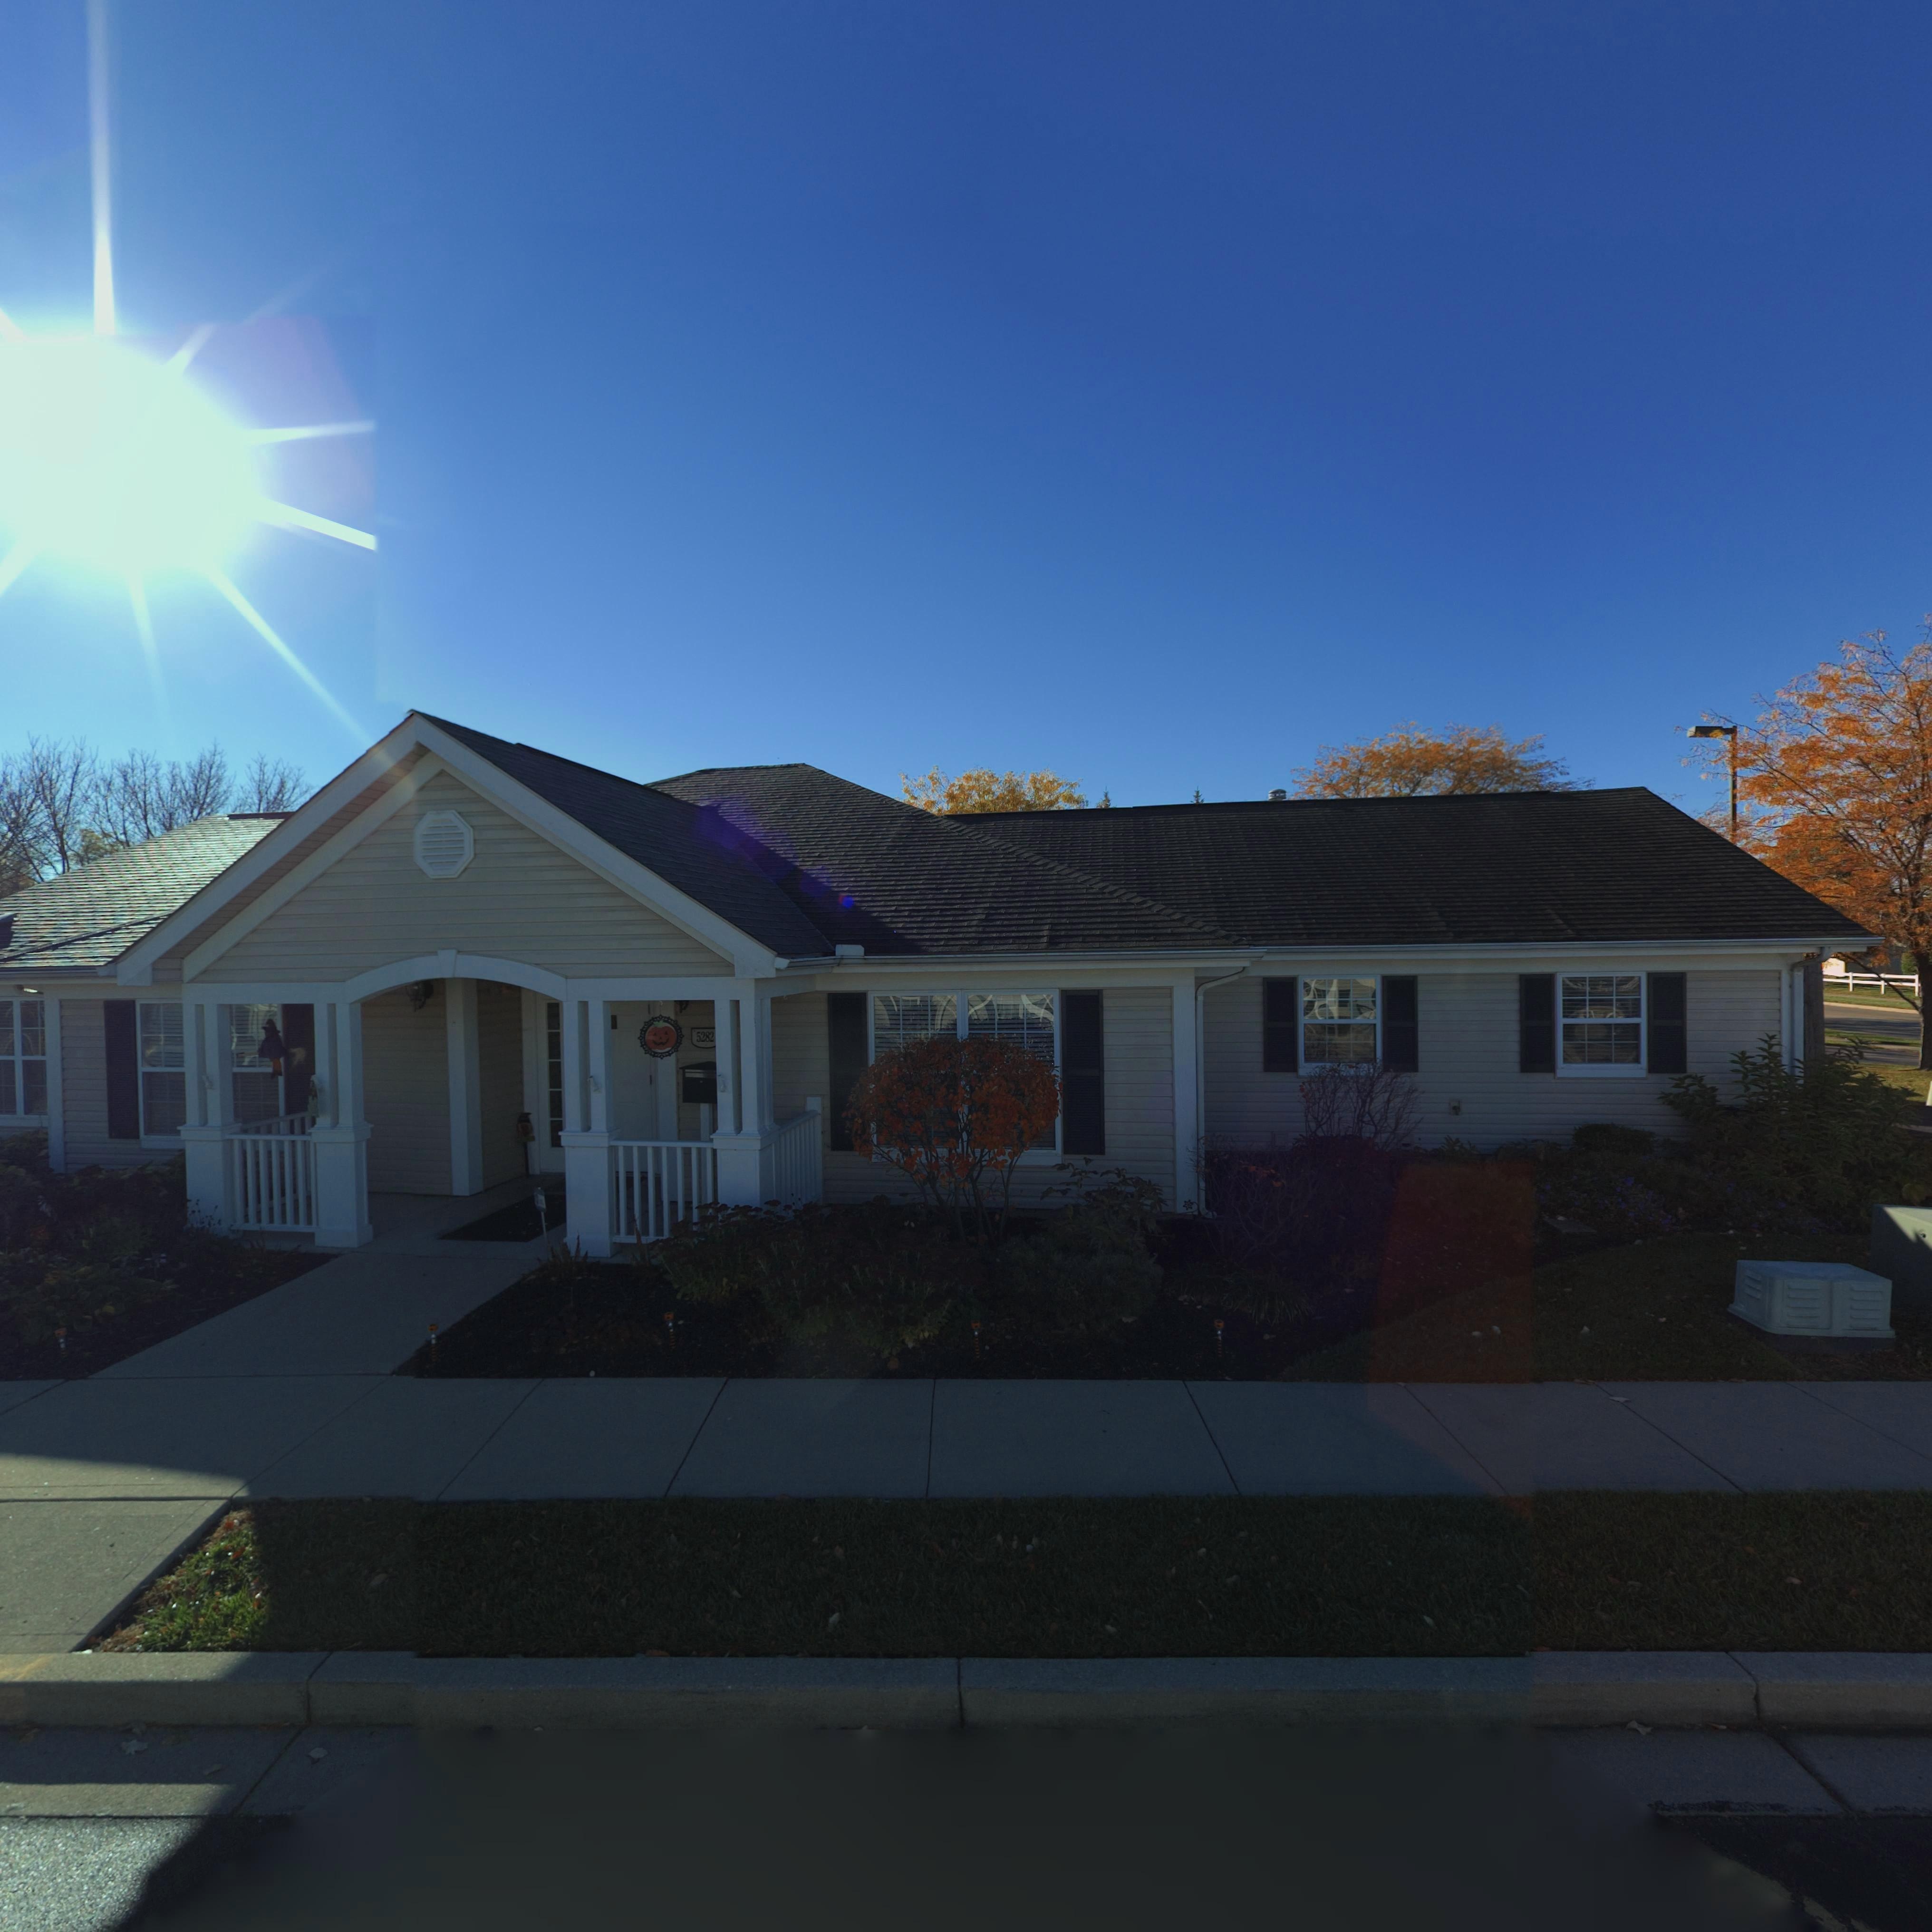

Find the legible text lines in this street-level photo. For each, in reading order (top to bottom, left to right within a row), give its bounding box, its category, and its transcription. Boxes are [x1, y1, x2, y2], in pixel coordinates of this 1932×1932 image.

[695, 1030, 715, 1043] StreetNumber: 5282